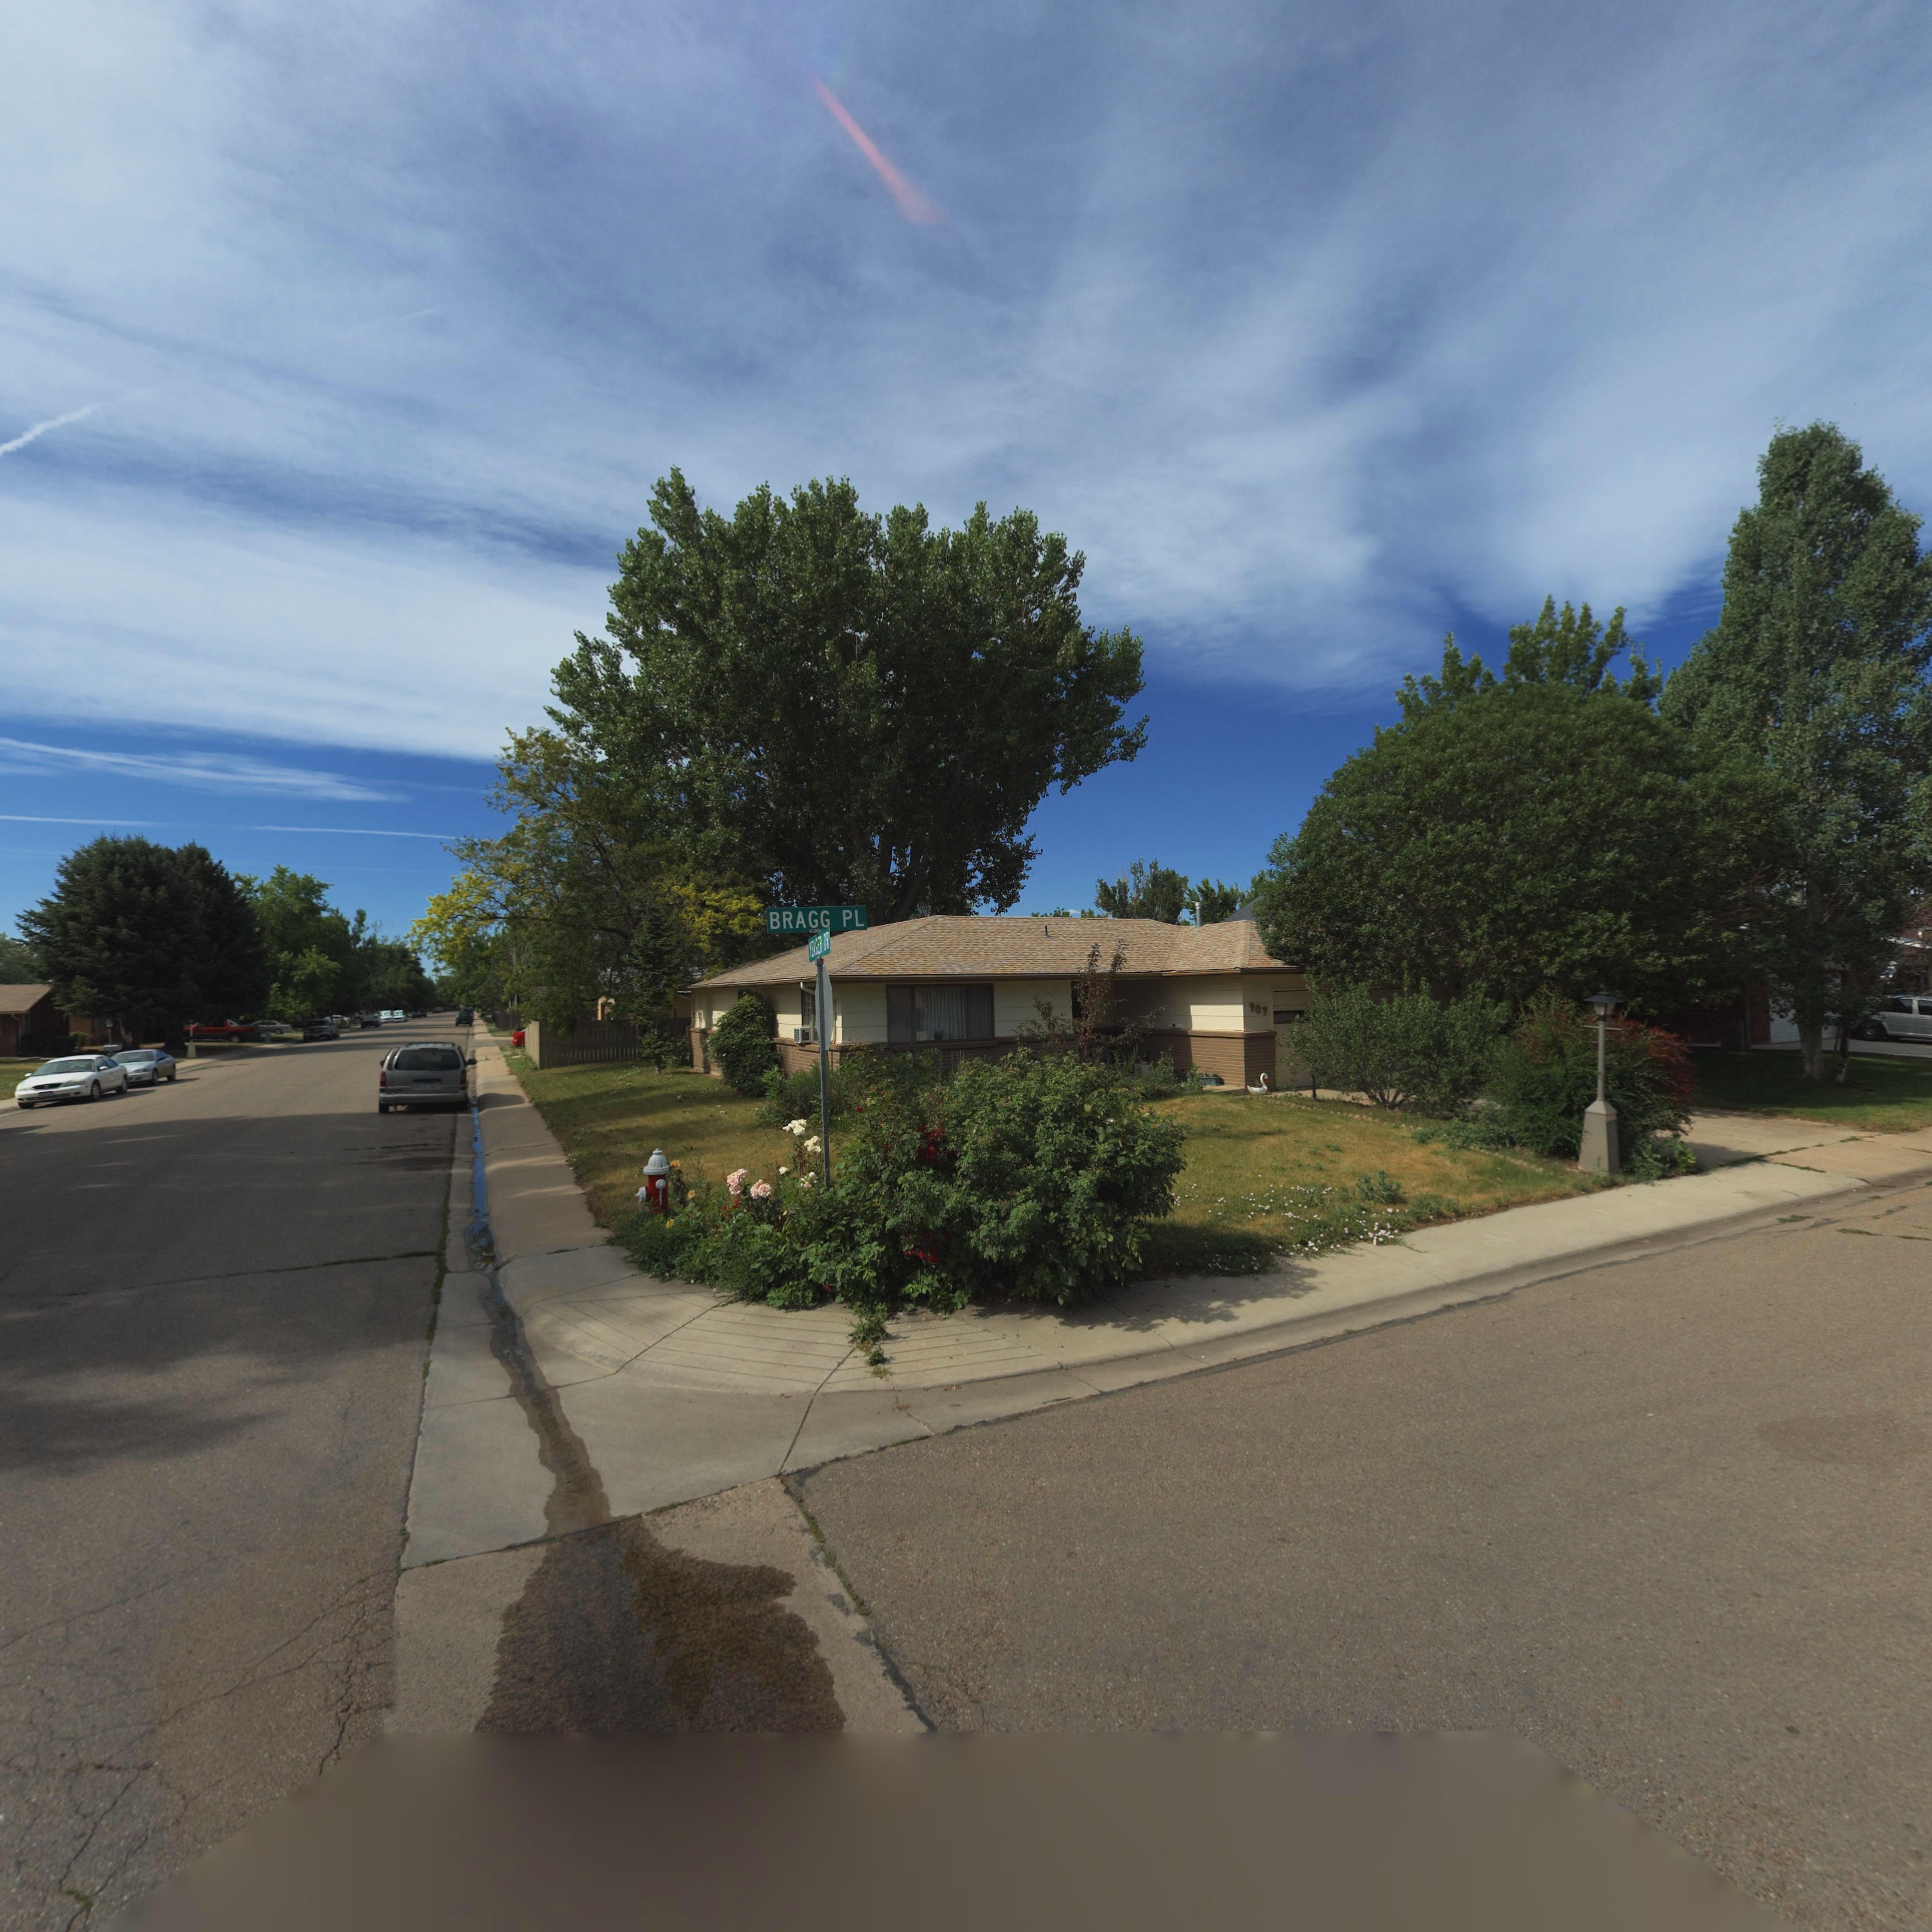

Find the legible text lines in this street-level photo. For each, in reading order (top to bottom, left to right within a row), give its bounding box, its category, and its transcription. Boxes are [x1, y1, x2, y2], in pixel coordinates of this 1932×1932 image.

[769, 909, 864, 929] StreetName: BRAGG PL
[808, 930, 830, 959] StreetName: YEAGER DR
[1249, 1002, 1267, 1016] StreetNumber: 907